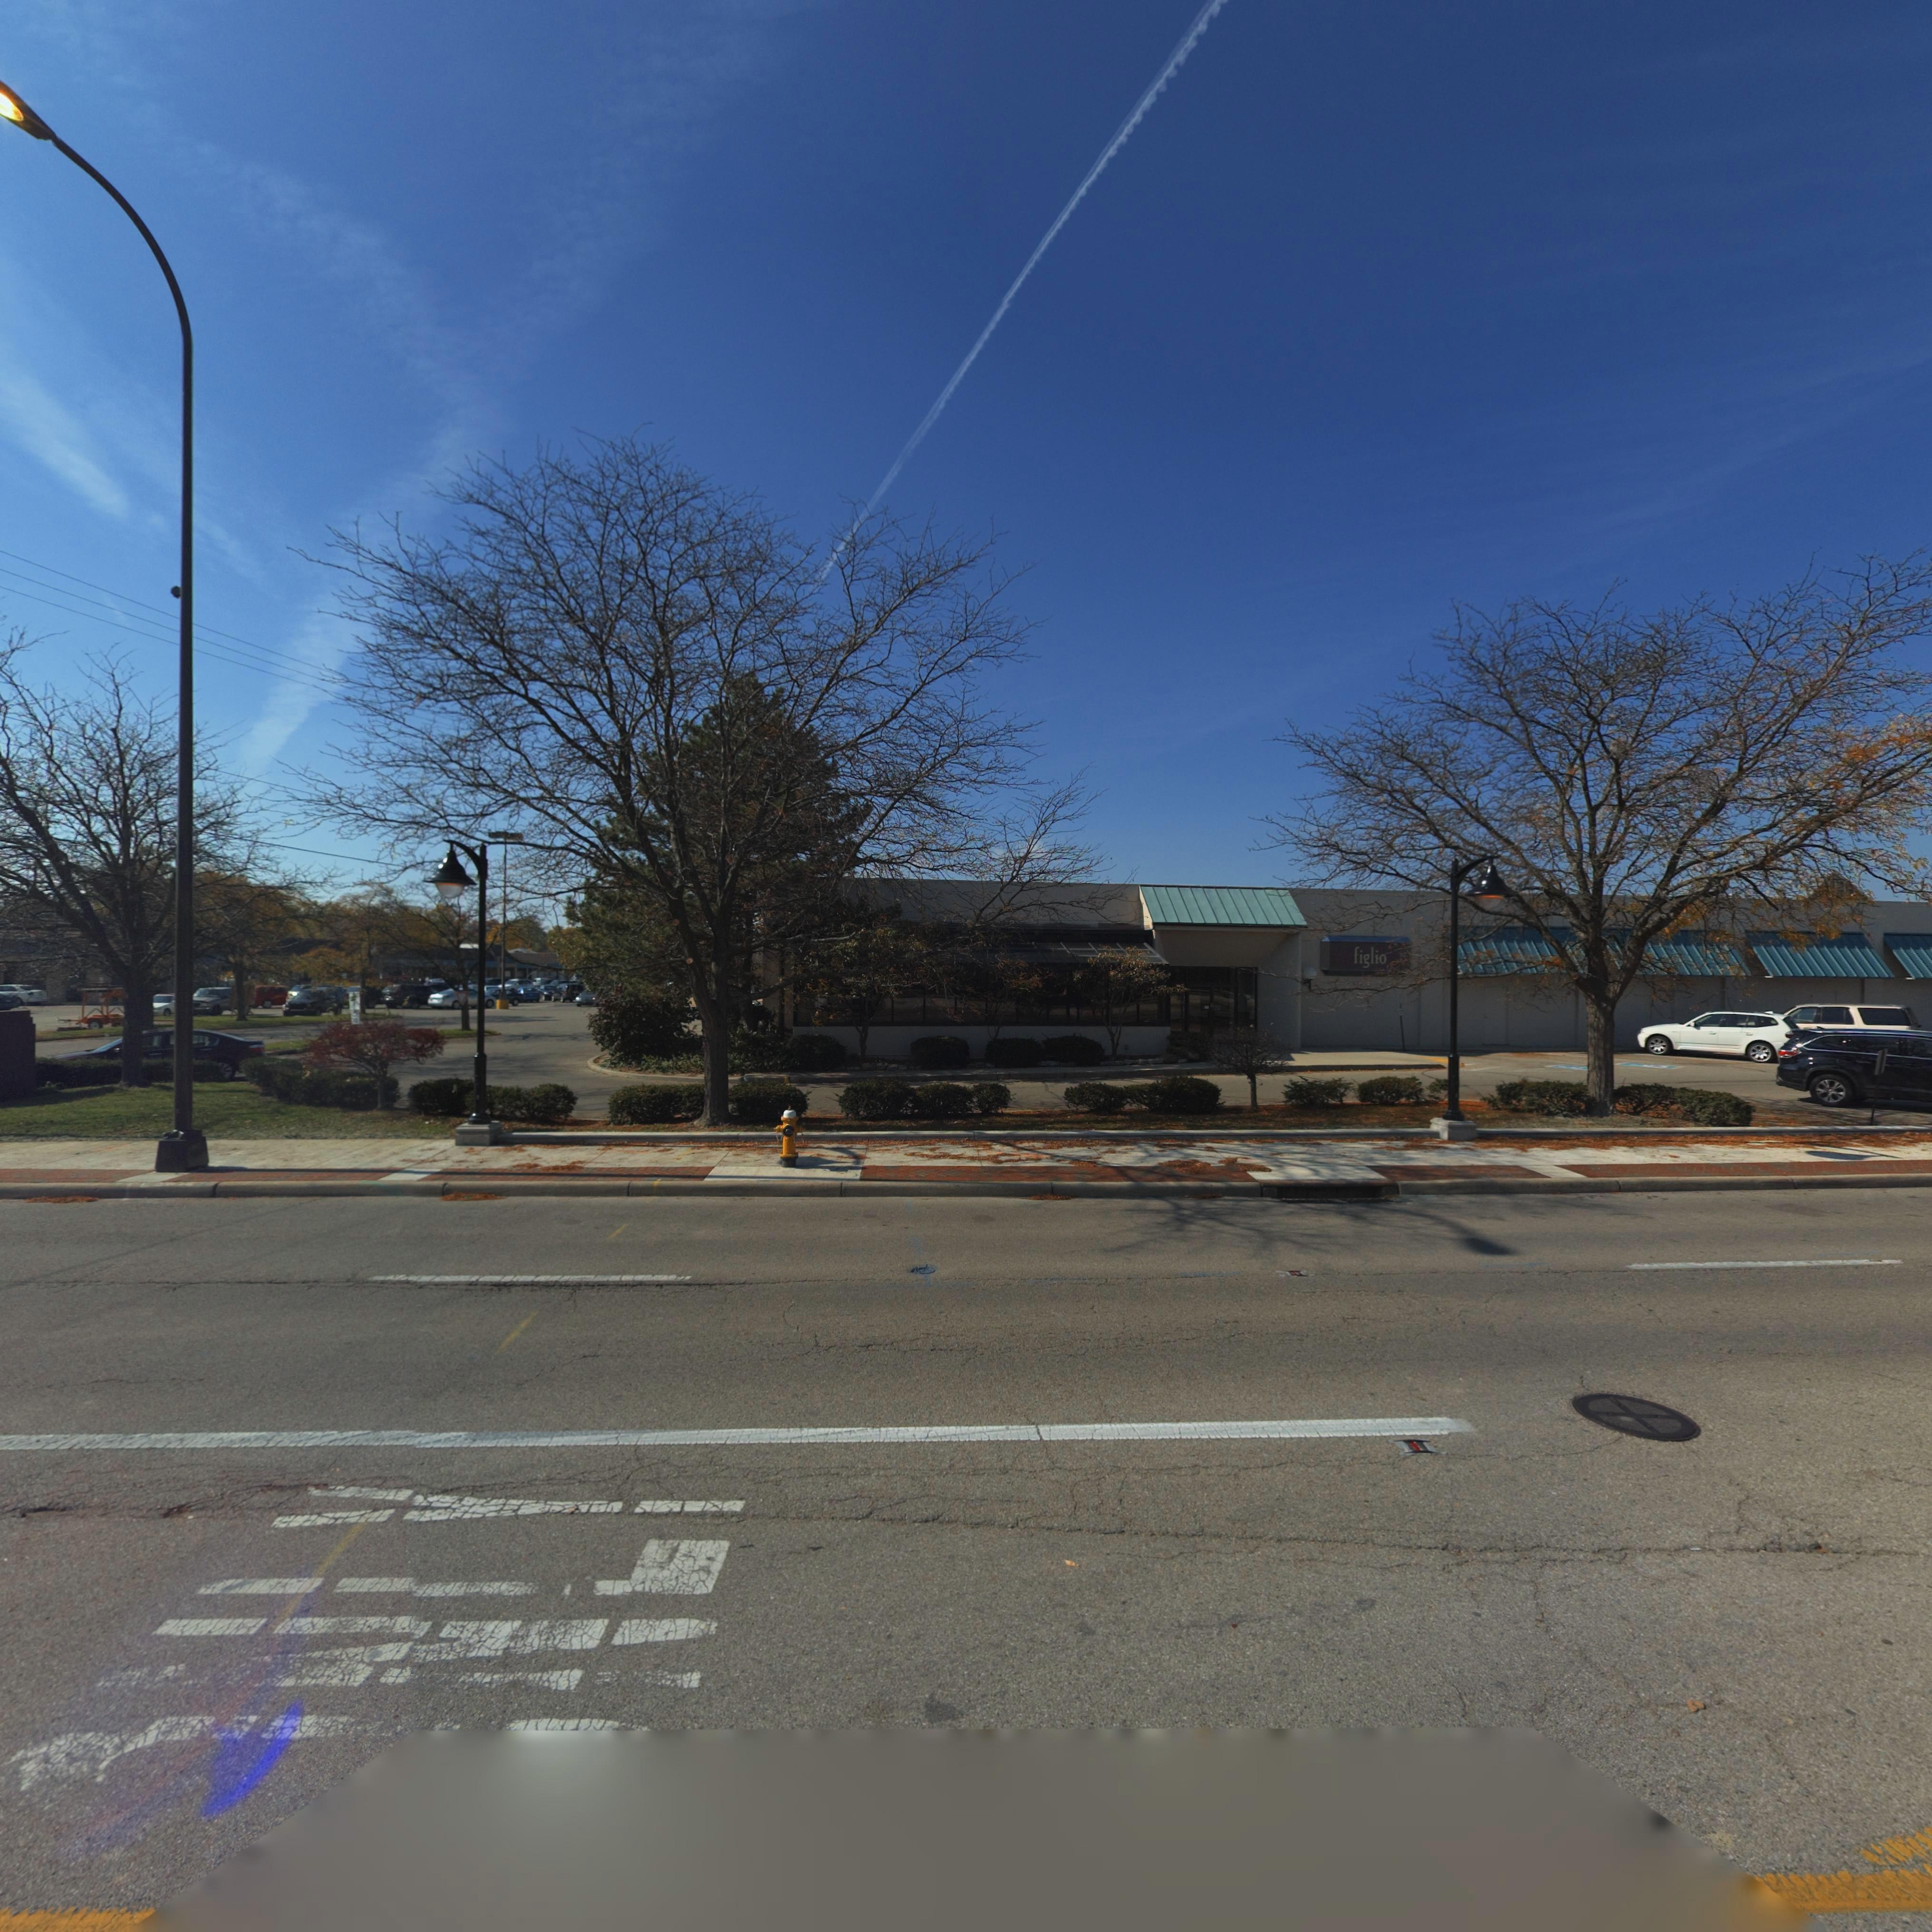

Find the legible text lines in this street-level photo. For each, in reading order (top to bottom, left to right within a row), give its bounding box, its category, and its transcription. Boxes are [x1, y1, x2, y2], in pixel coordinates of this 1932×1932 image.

[1353, 946, 1387, 969] BusinessName: figlio
[84, 1481, 748, 1694] None: NLY